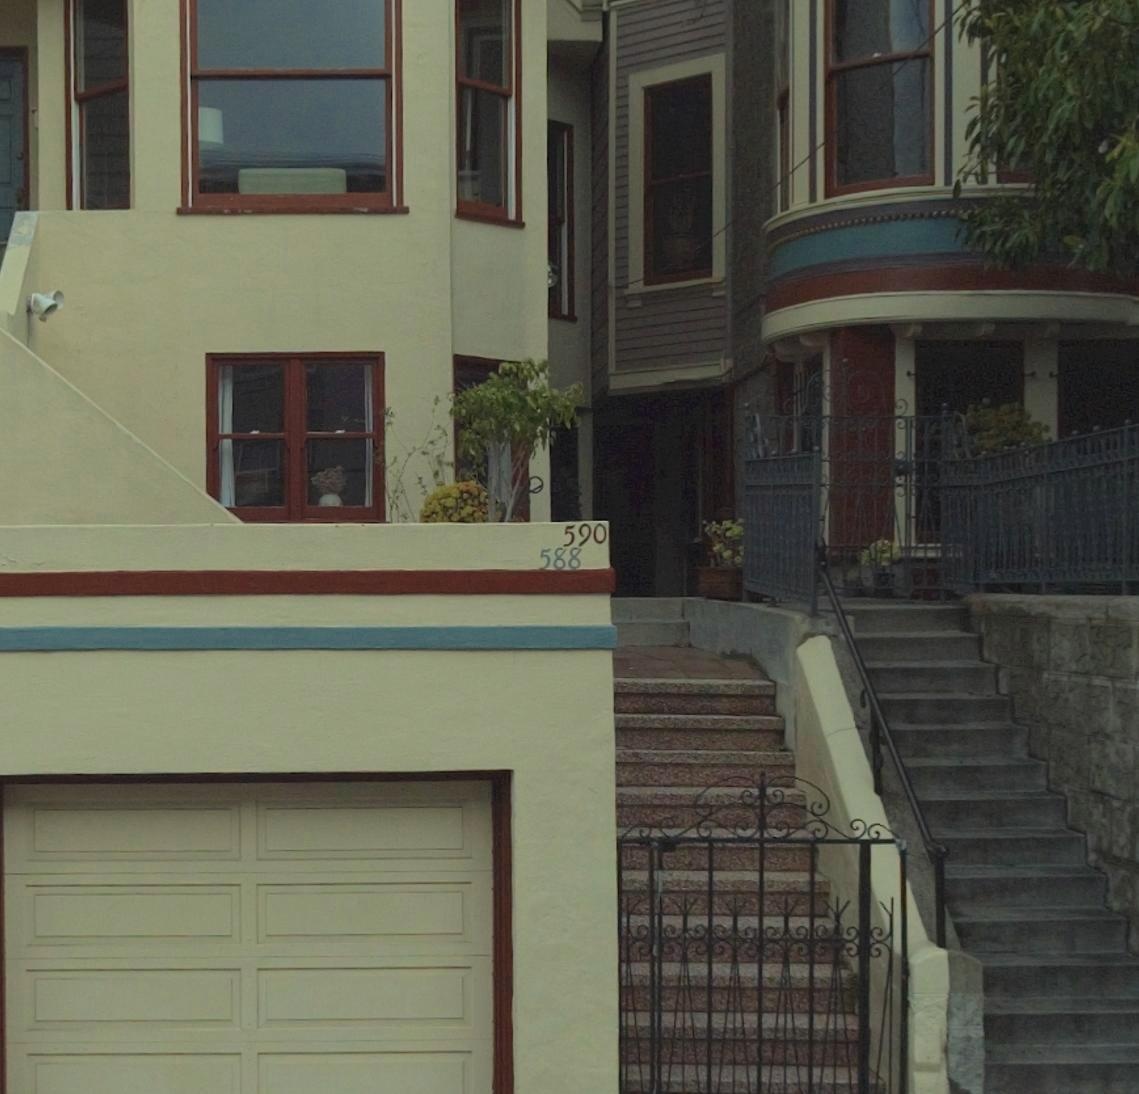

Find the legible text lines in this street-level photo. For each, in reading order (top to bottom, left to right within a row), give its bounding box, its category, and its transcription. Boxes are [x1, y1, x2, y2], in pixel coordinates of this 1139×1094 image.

[562, 521, 608, 548] StreetNumber: 590
[537, 545, 582, 572] StreetNumber: 588